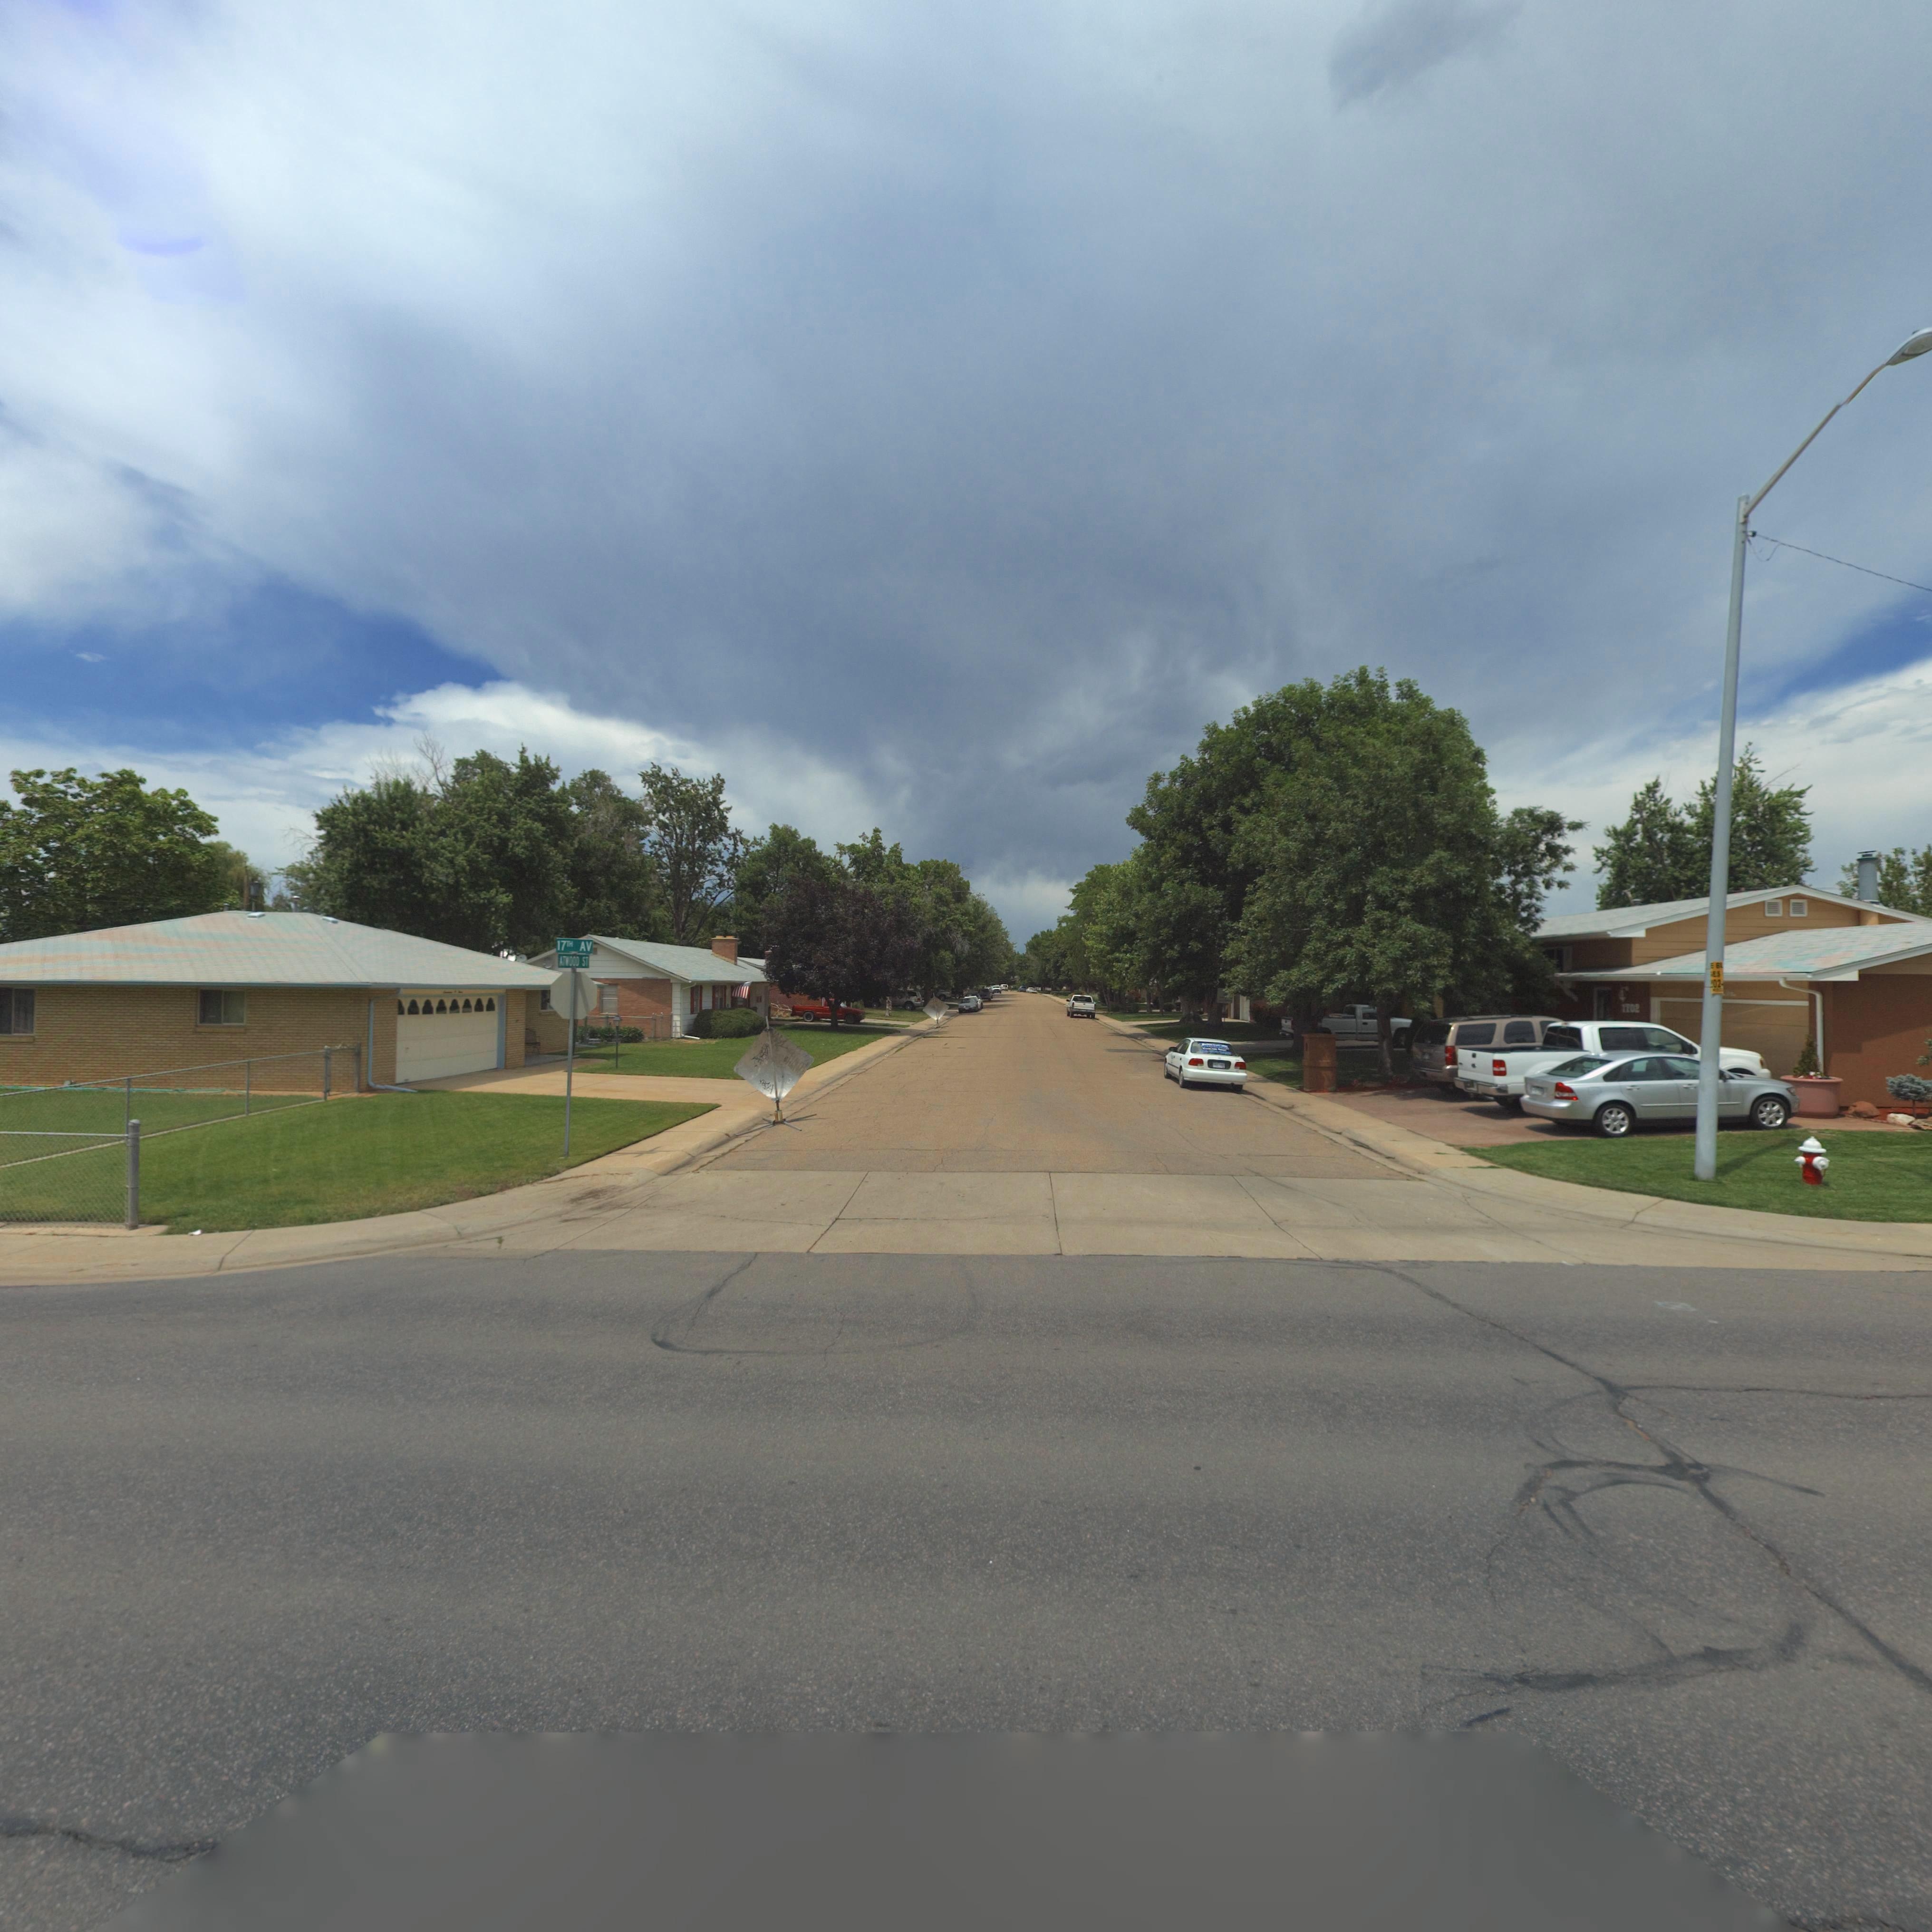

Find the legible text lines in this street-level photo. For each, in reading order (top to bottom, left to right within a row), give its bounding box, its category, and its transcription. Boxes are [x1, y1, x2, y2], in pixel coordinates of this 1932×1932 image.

[557, 940, 593, 952] StreetName: 17TH AV
[558, 955, 589, 966] StreetName: ATWOOD ST
[1621, 1003, 1640, 1014] StreetNumber: 1702